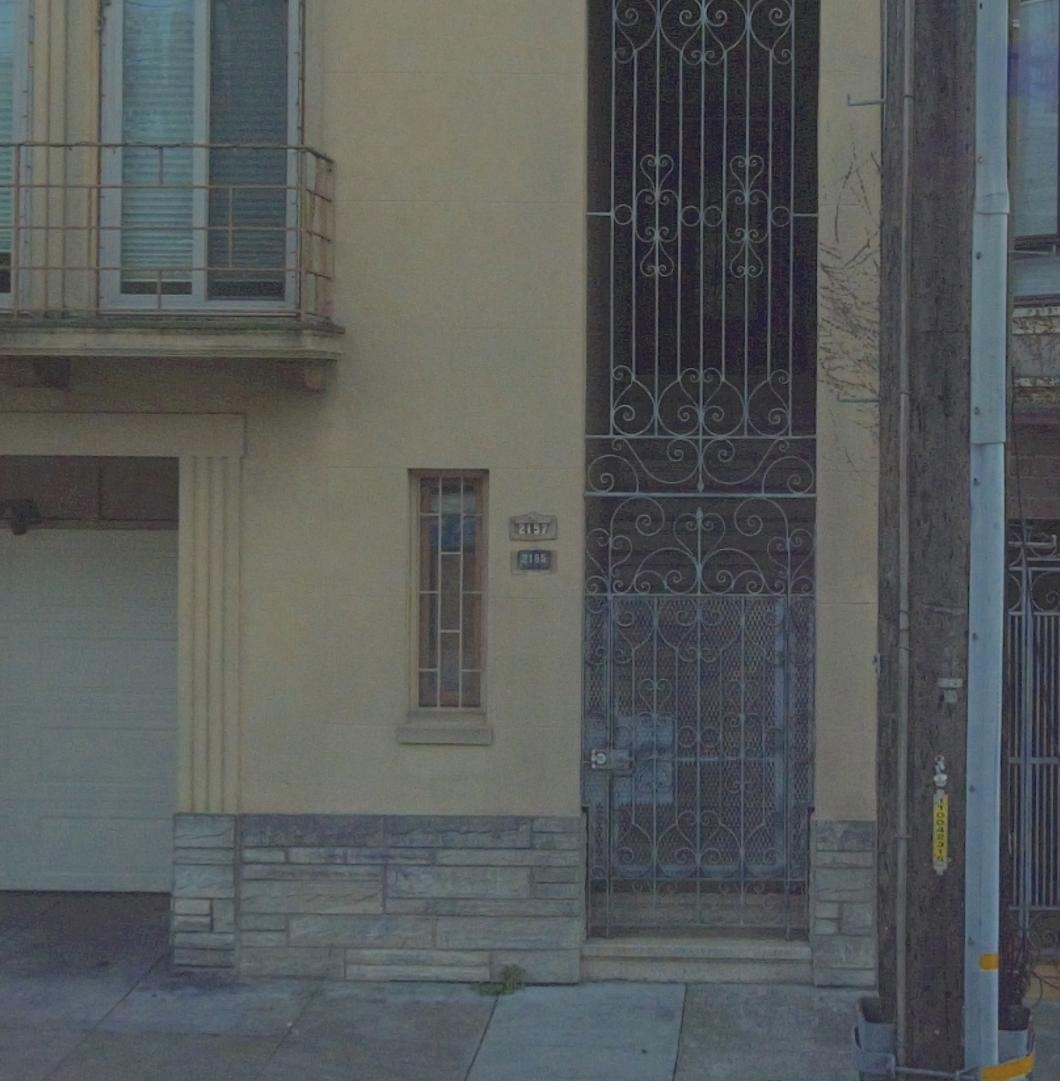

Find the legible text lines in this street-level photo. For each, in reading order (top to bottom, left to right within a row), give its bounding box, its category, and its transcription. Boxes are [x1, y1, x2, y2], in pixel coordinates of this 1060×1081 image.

[516, 520, 549, 538] StreetNumber: 2157
[519, 551, 549, 566] StreetNumber: 2165
[933, 796, 948, 864] None: *1004****